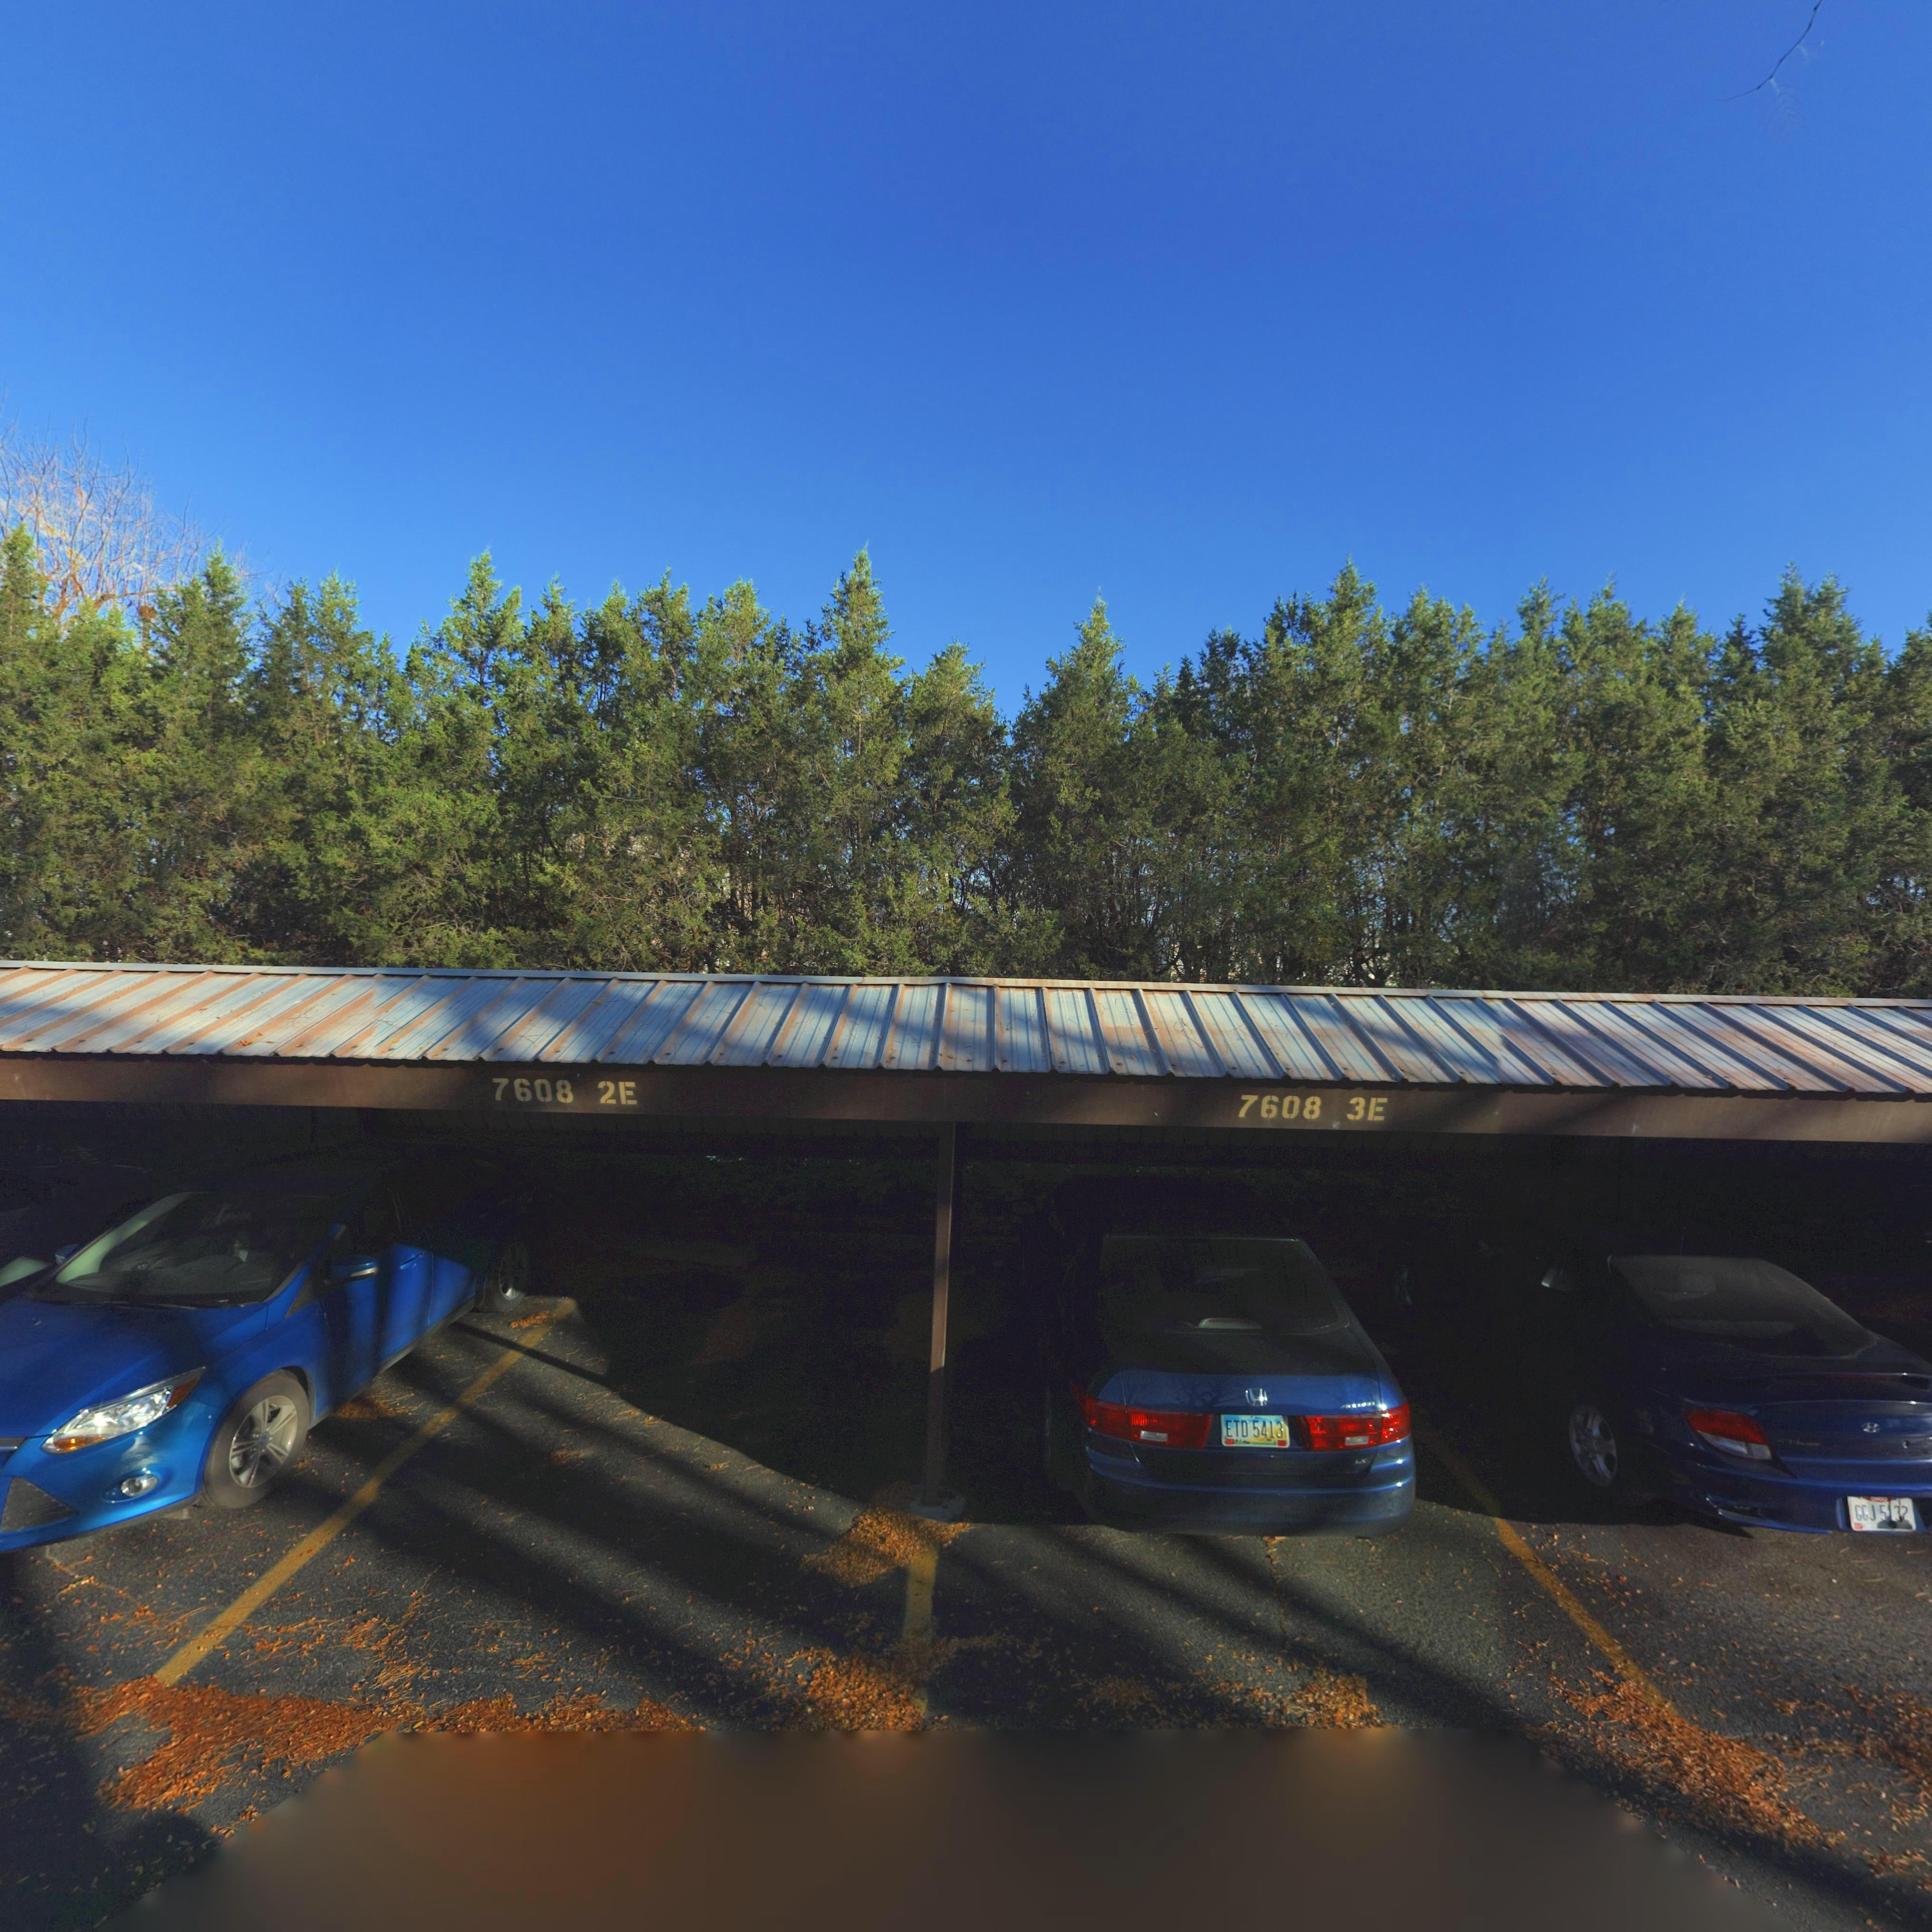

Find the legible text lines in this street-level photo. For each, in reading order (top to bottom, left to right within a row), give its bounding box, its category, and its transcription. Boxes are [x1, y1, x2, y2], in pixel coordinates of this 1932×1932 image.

[491, 1077, 574, 1103] StreetNumber: 7608
[1237, 1094, 1323, 1119] StreetNumber: 7608